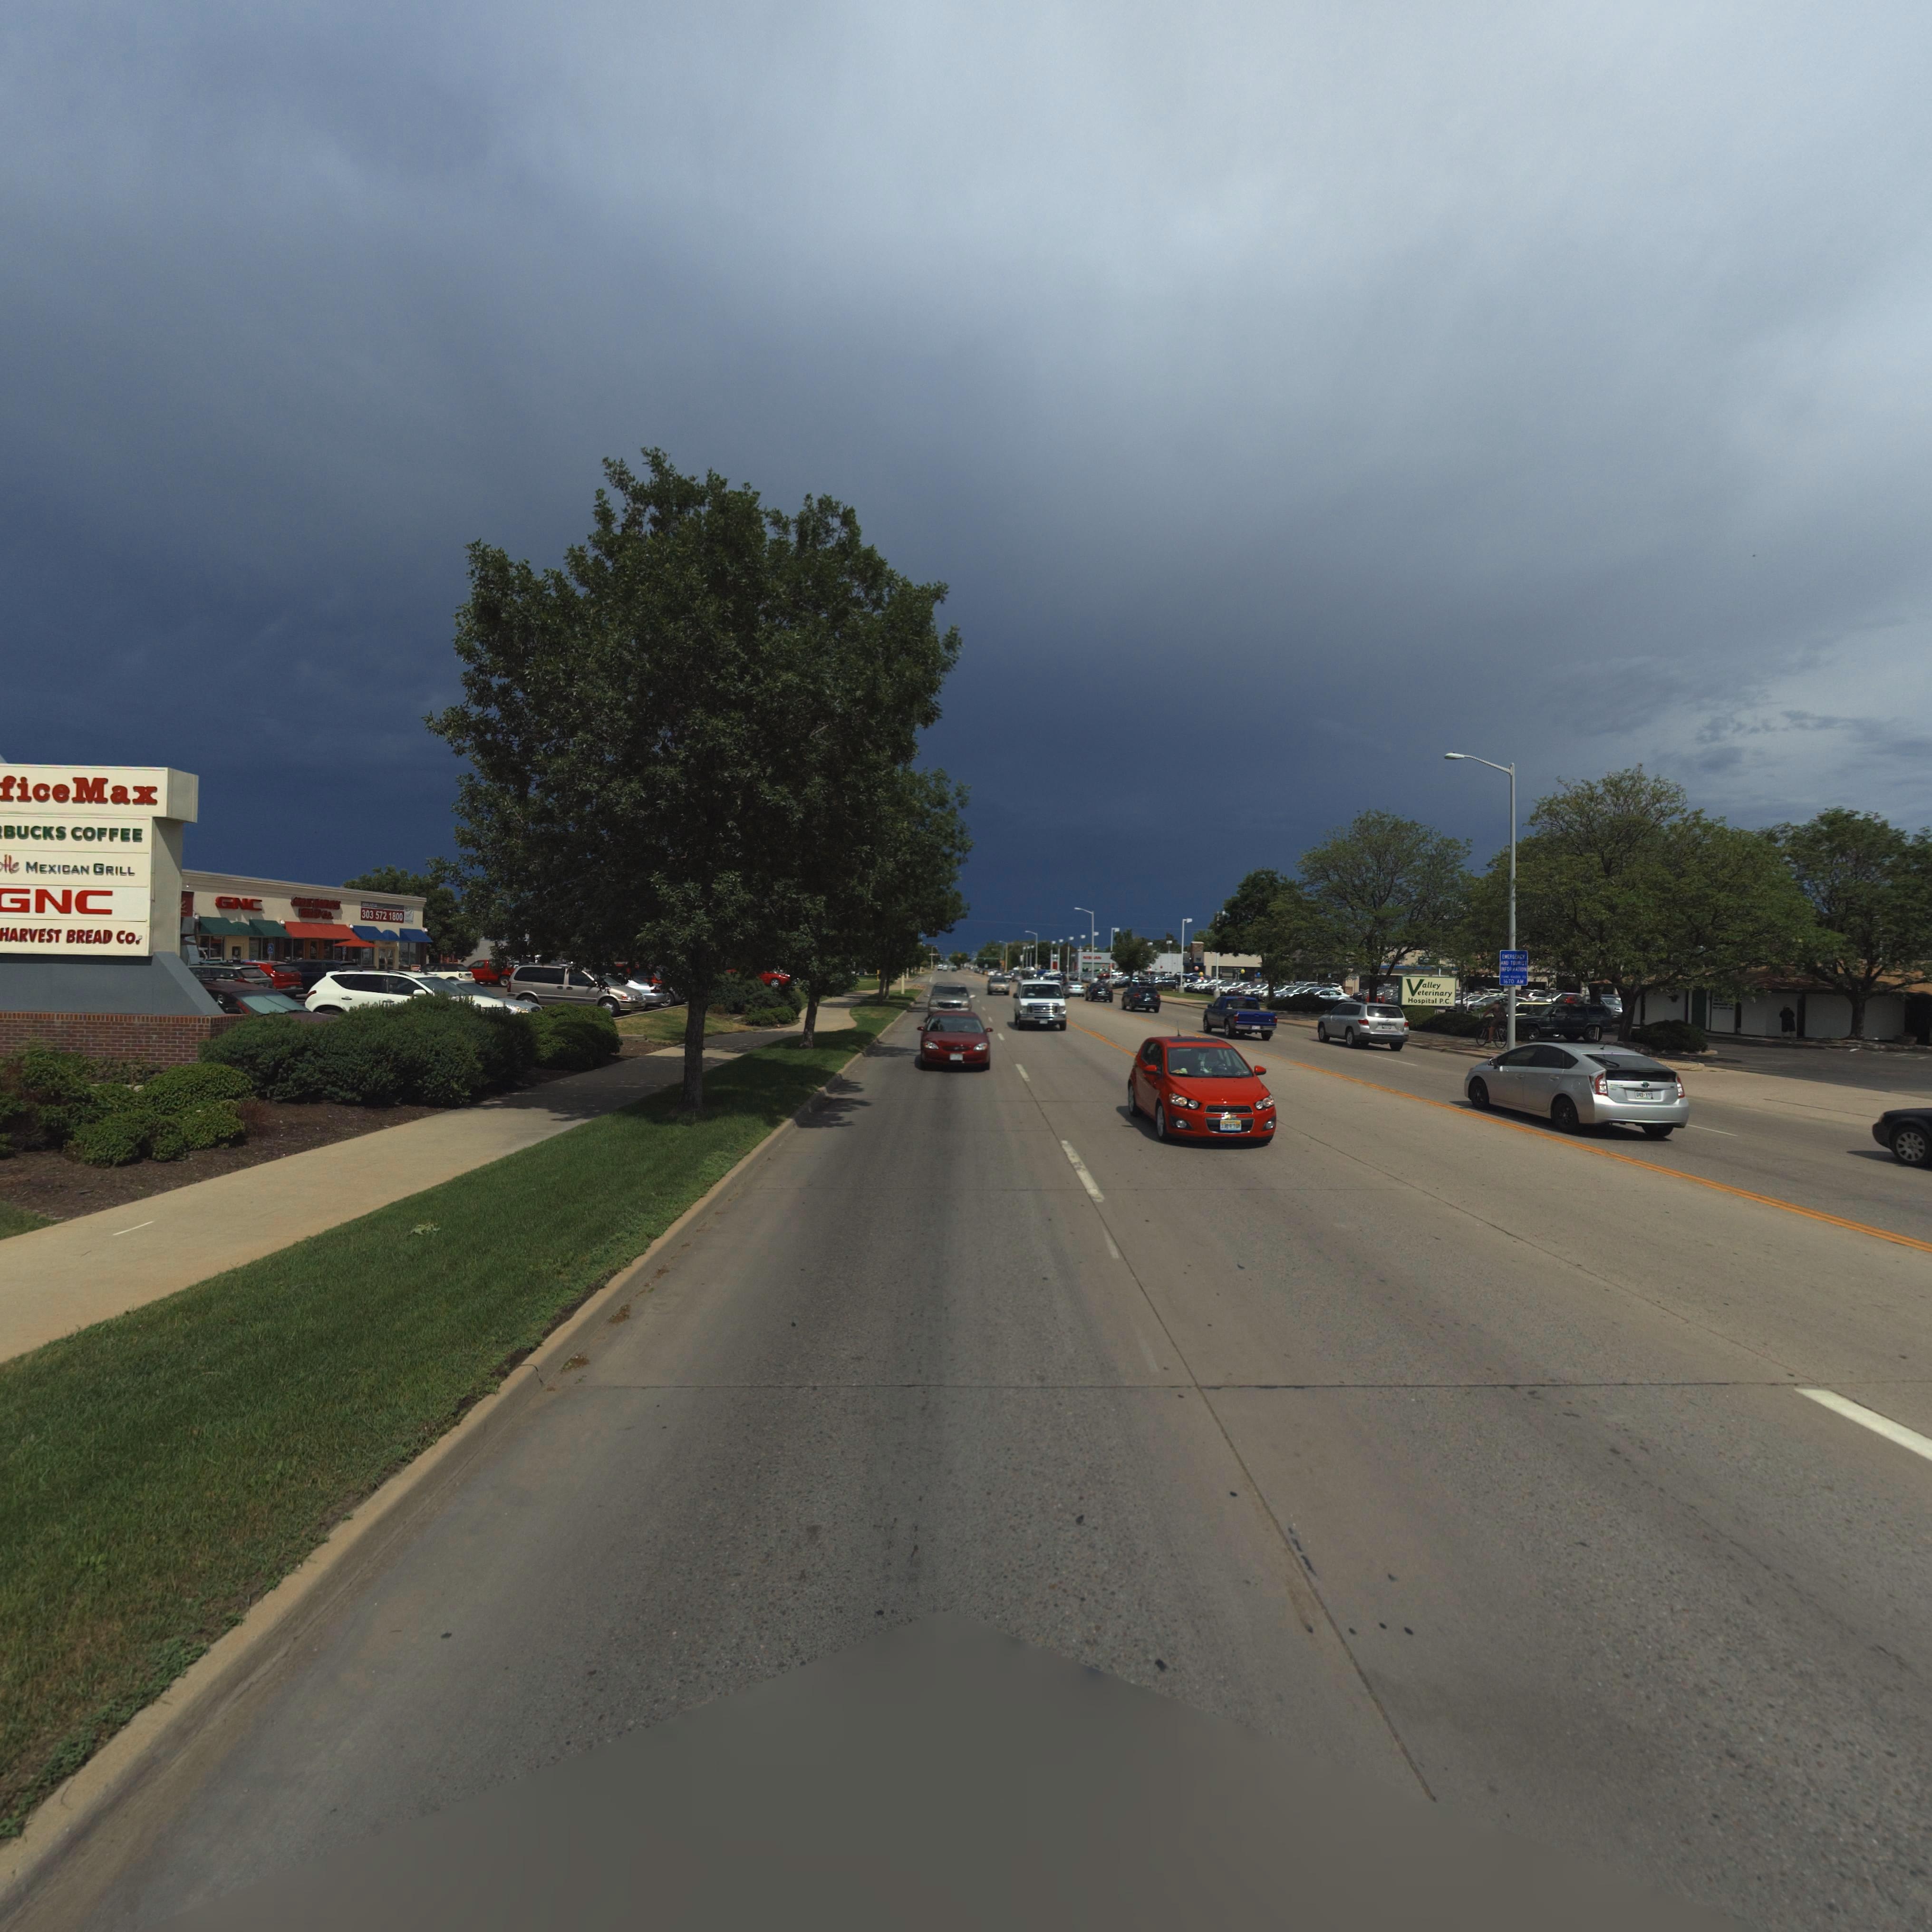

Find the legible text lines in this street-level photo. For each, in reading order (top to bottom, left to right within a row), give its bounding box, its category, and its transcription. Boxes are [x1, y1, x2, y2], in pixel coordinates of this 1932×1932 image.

[16, 776, 158, 805] BusinessName: ice Max
[3, 824, 143, 842] BusinessName: BUCKS COFFEE
[2, 853, 135, 875] BusinessName: tle MEXICAN GRILL
[34, 888, 113, 915] BusinessName: NC
[180, 899, 187, 908] BusinessName: e
[214, 896, 262, 911] BusinessName: GNC
[290, 896, 341, 910] BusinessName: GREAT HARVEST
[299, 908, 334, 919] BusinessName: BREAD Co.
[8, 927, 140, 945] BusinessName: ARVEST BREAD Co.
[213, 936, 221, 939] BusinessName: 1100
[221, 936, 224, 940] SecondaryUnitDesignator: C
[1082, 955, 1101, 959] BusinessName: NIS*AN
[1405, 978, 1424, 996] BusinessName: V
[1422, 981, 1440, 990] BusinessName: alley
[1417, 989, 1452, 998] BusinessName: eterinary
[1408, 997, 1451, 1005] BusinessName: Hospital P.C.